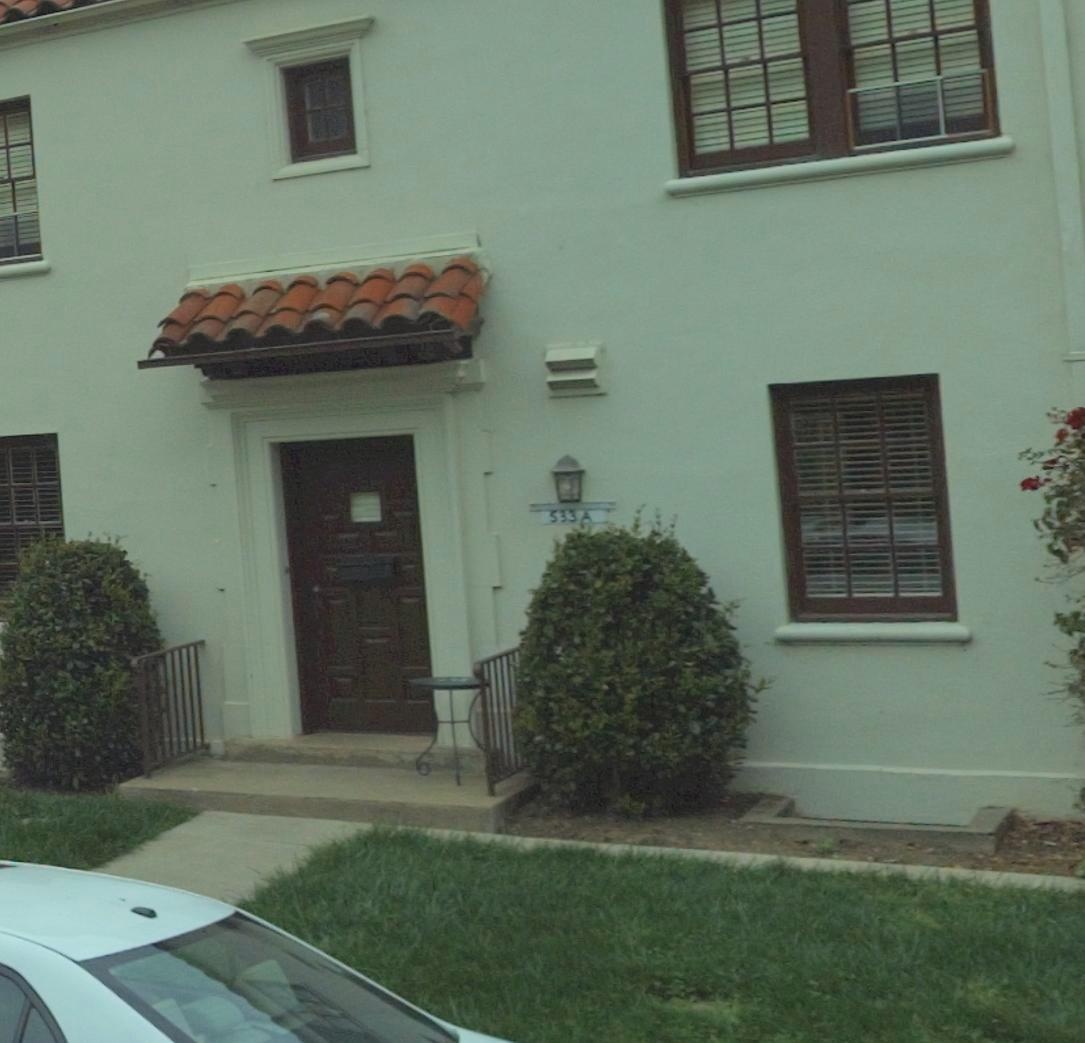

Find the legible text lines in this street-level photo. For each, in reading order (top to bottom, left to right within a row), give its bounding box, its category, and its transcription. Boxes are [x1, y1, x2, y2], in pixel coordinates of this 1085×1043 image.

[549, 509, 593, 523] StreetNumber: 533 A